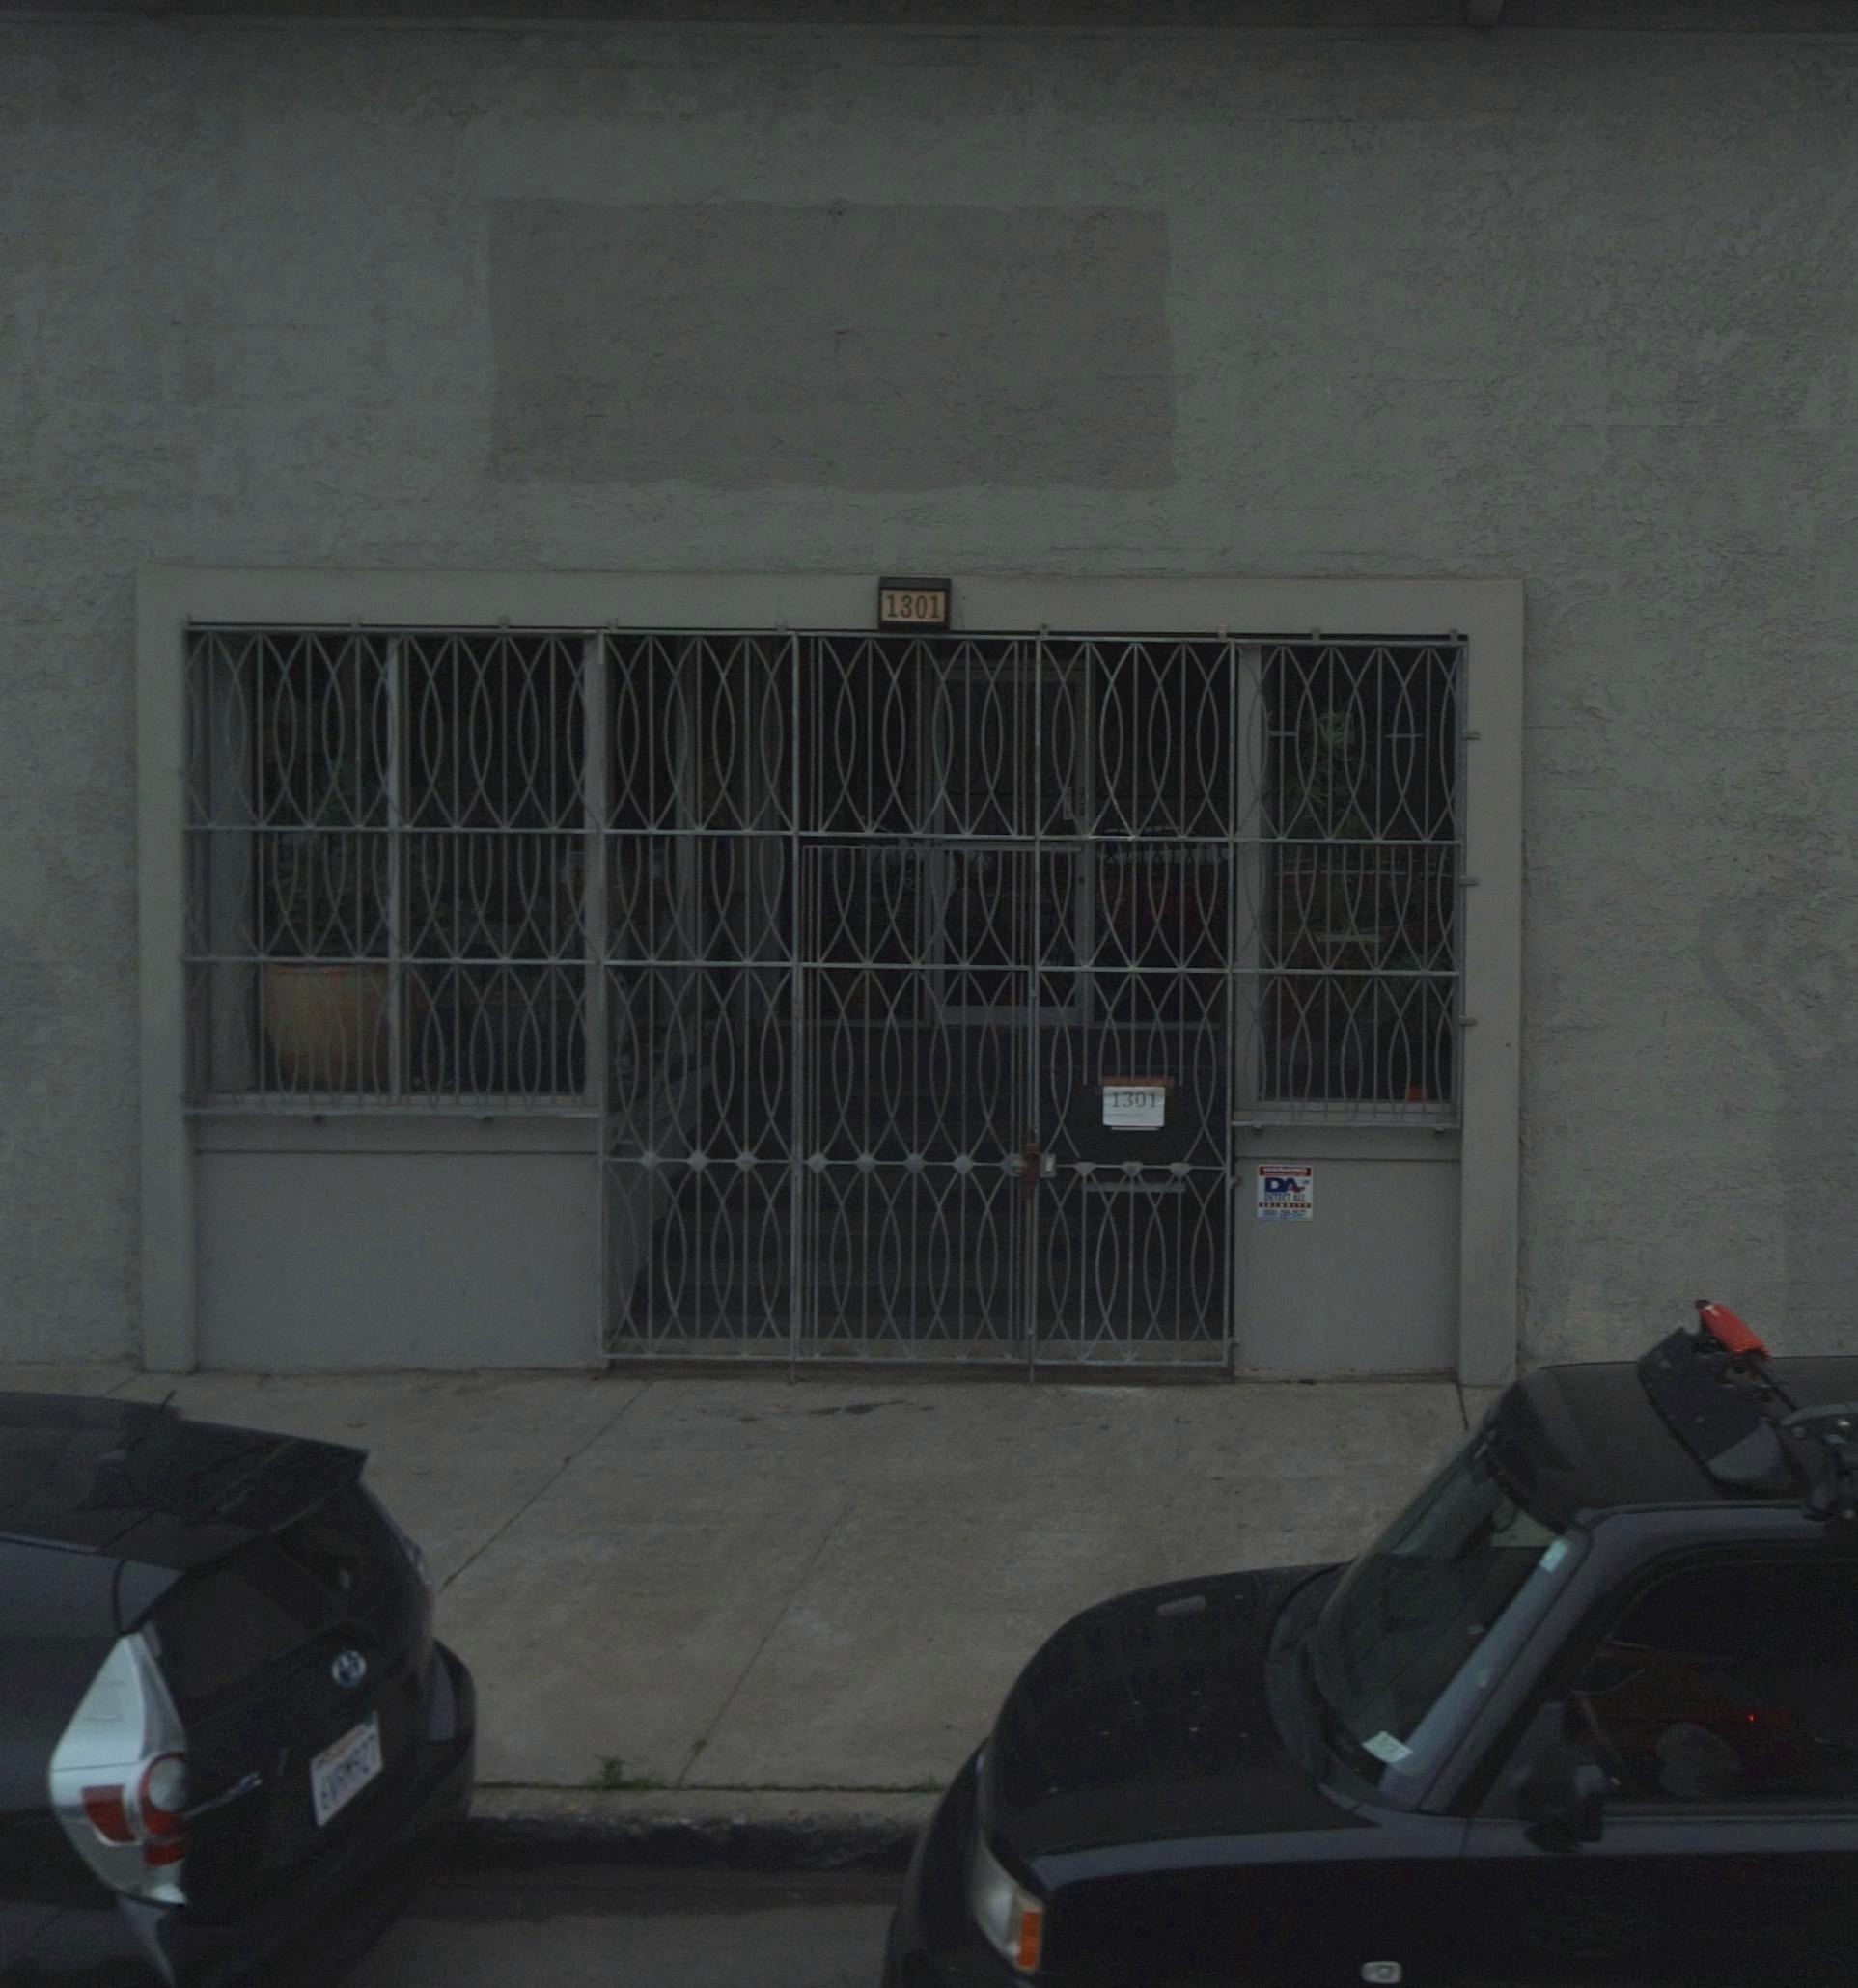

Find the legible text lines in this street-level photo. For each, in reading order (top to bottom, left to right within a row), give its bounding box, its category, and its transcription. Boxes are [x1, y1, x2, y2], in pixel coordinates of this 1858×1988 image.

[885, 594, 941, 618] StreetNumber: 1301
[1110, 1091, 1156, 1108] StreetNumber: 1301
[1264, 1177, 1301, 1193] None: DA